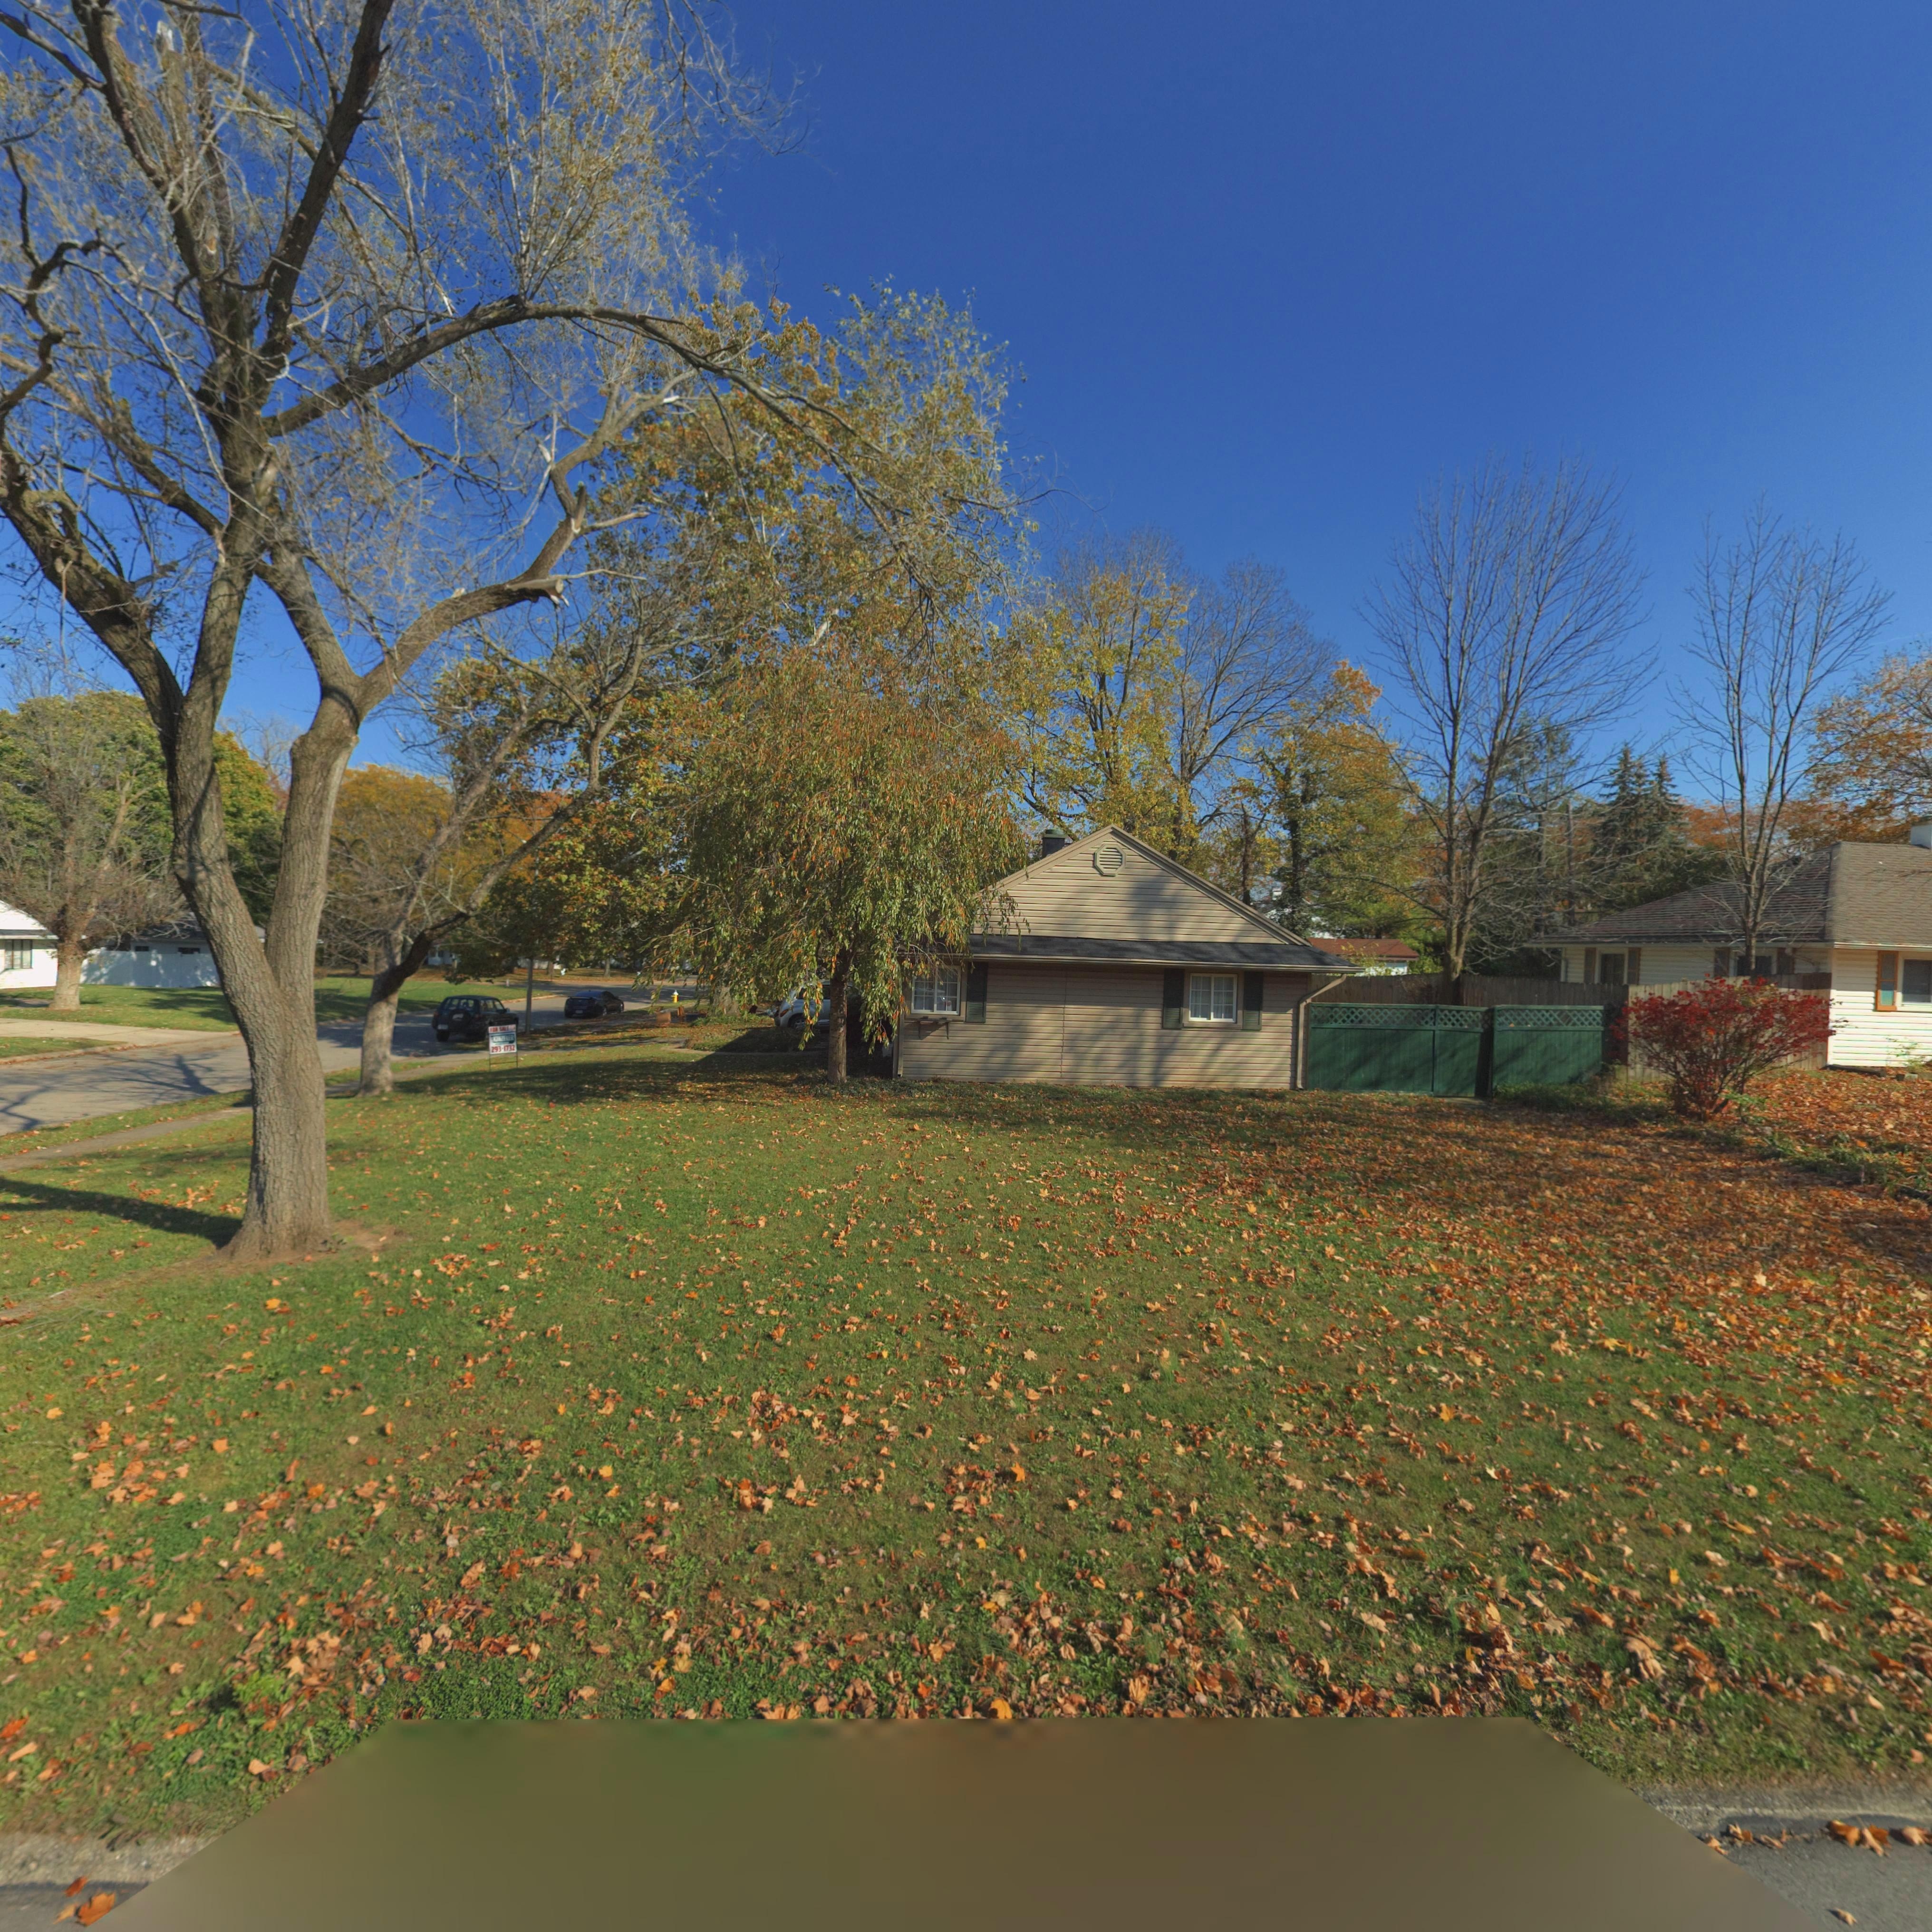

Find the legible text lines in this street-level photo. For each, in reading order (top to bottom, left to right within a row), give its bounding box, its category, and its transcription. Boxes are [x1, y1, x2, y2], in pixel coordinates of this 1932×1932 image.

[490, 1026, 510, 1033] None: FOR SALE
[501, 1034, 514, 1042] None: ZELER
[490, 1044, 515, 1053] None: 293-1732